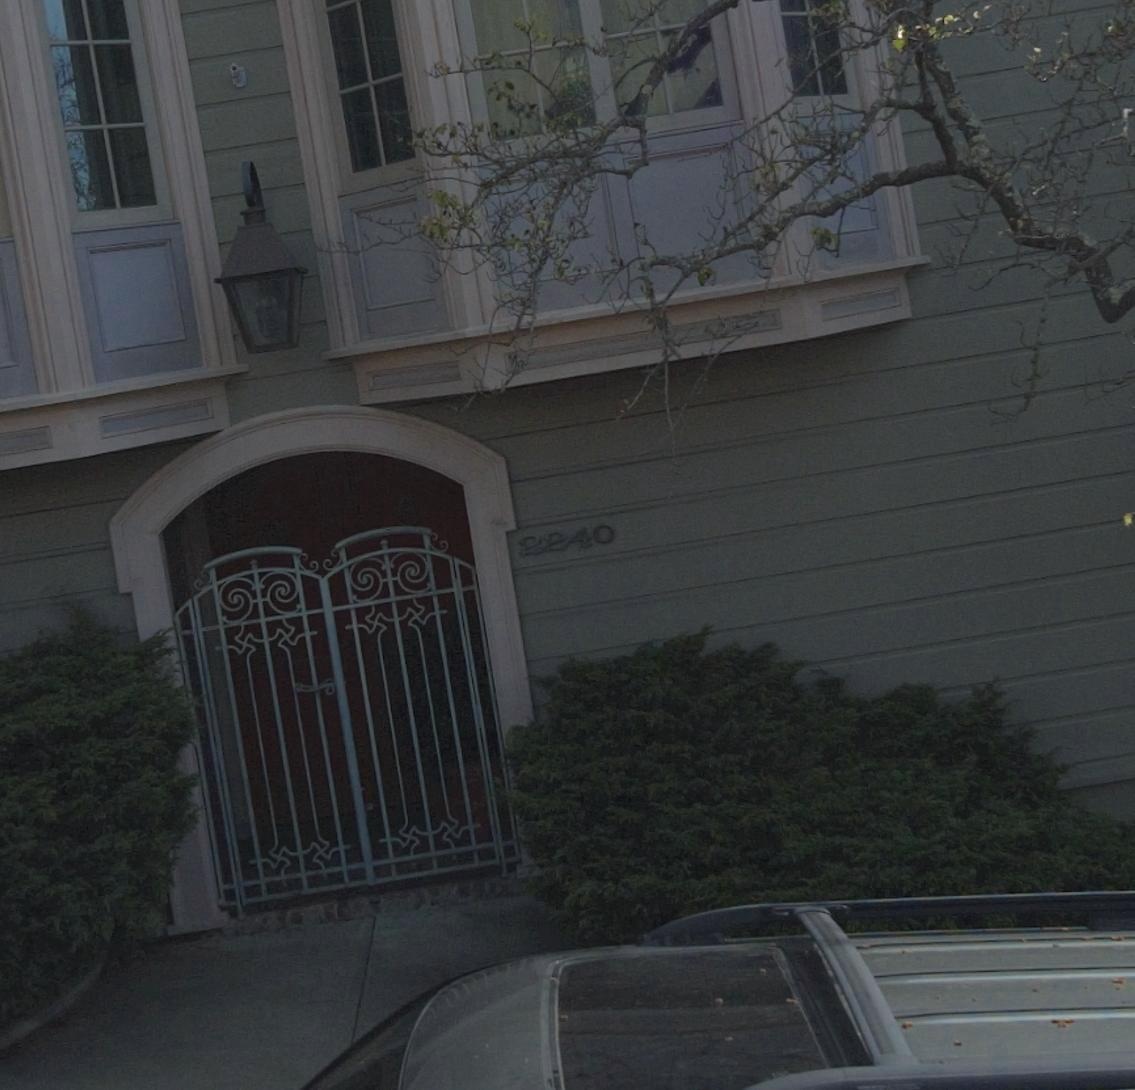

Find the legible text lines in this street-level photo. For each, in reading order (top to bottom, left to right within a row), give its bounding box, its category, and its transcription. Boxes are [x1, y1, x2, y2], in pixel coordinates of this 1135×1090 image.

[514, 519, 619, 562] StreetNumber: 2240